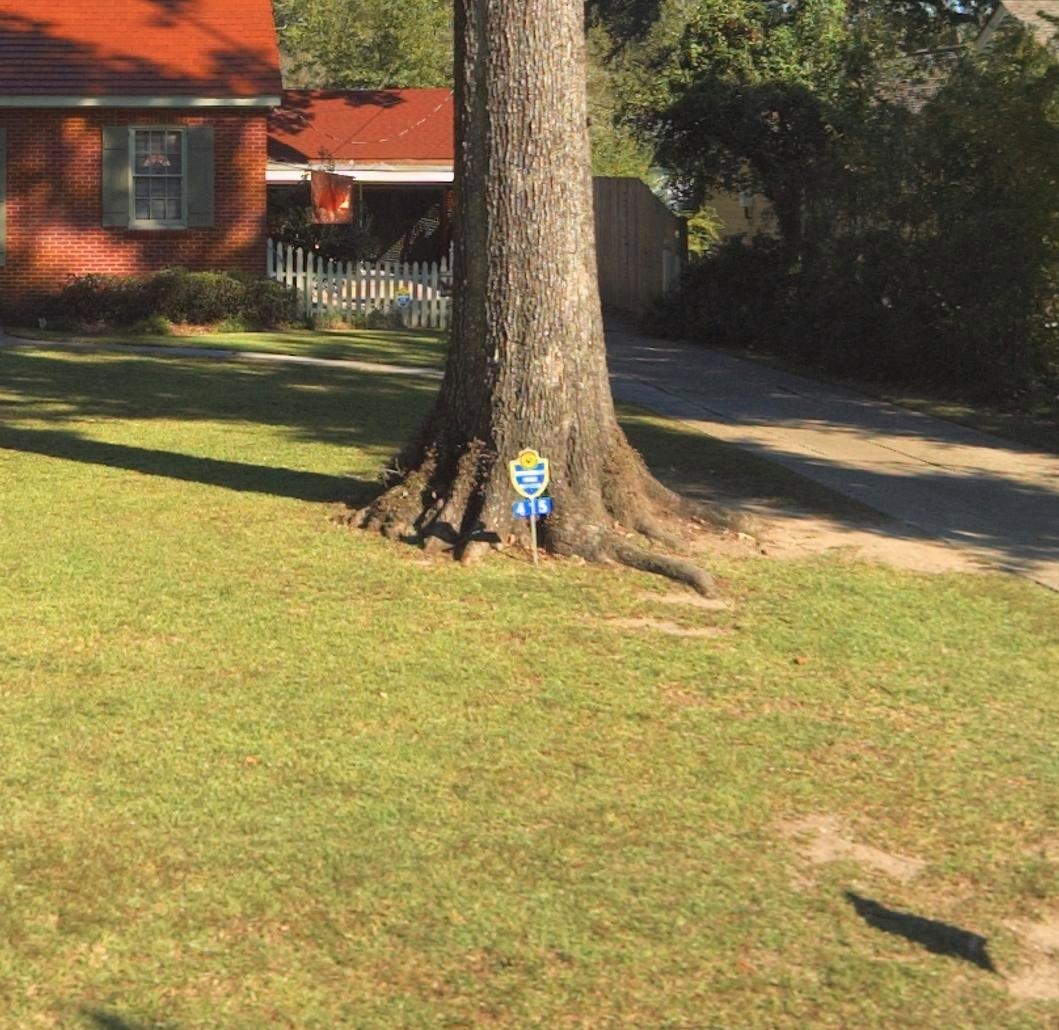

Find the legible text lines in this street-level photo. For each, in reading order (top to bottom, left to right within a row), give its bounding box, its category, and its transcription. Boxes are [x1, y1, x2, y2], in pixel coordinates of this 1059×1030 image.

[515, 499, 549, 518] StreetNumber: 415